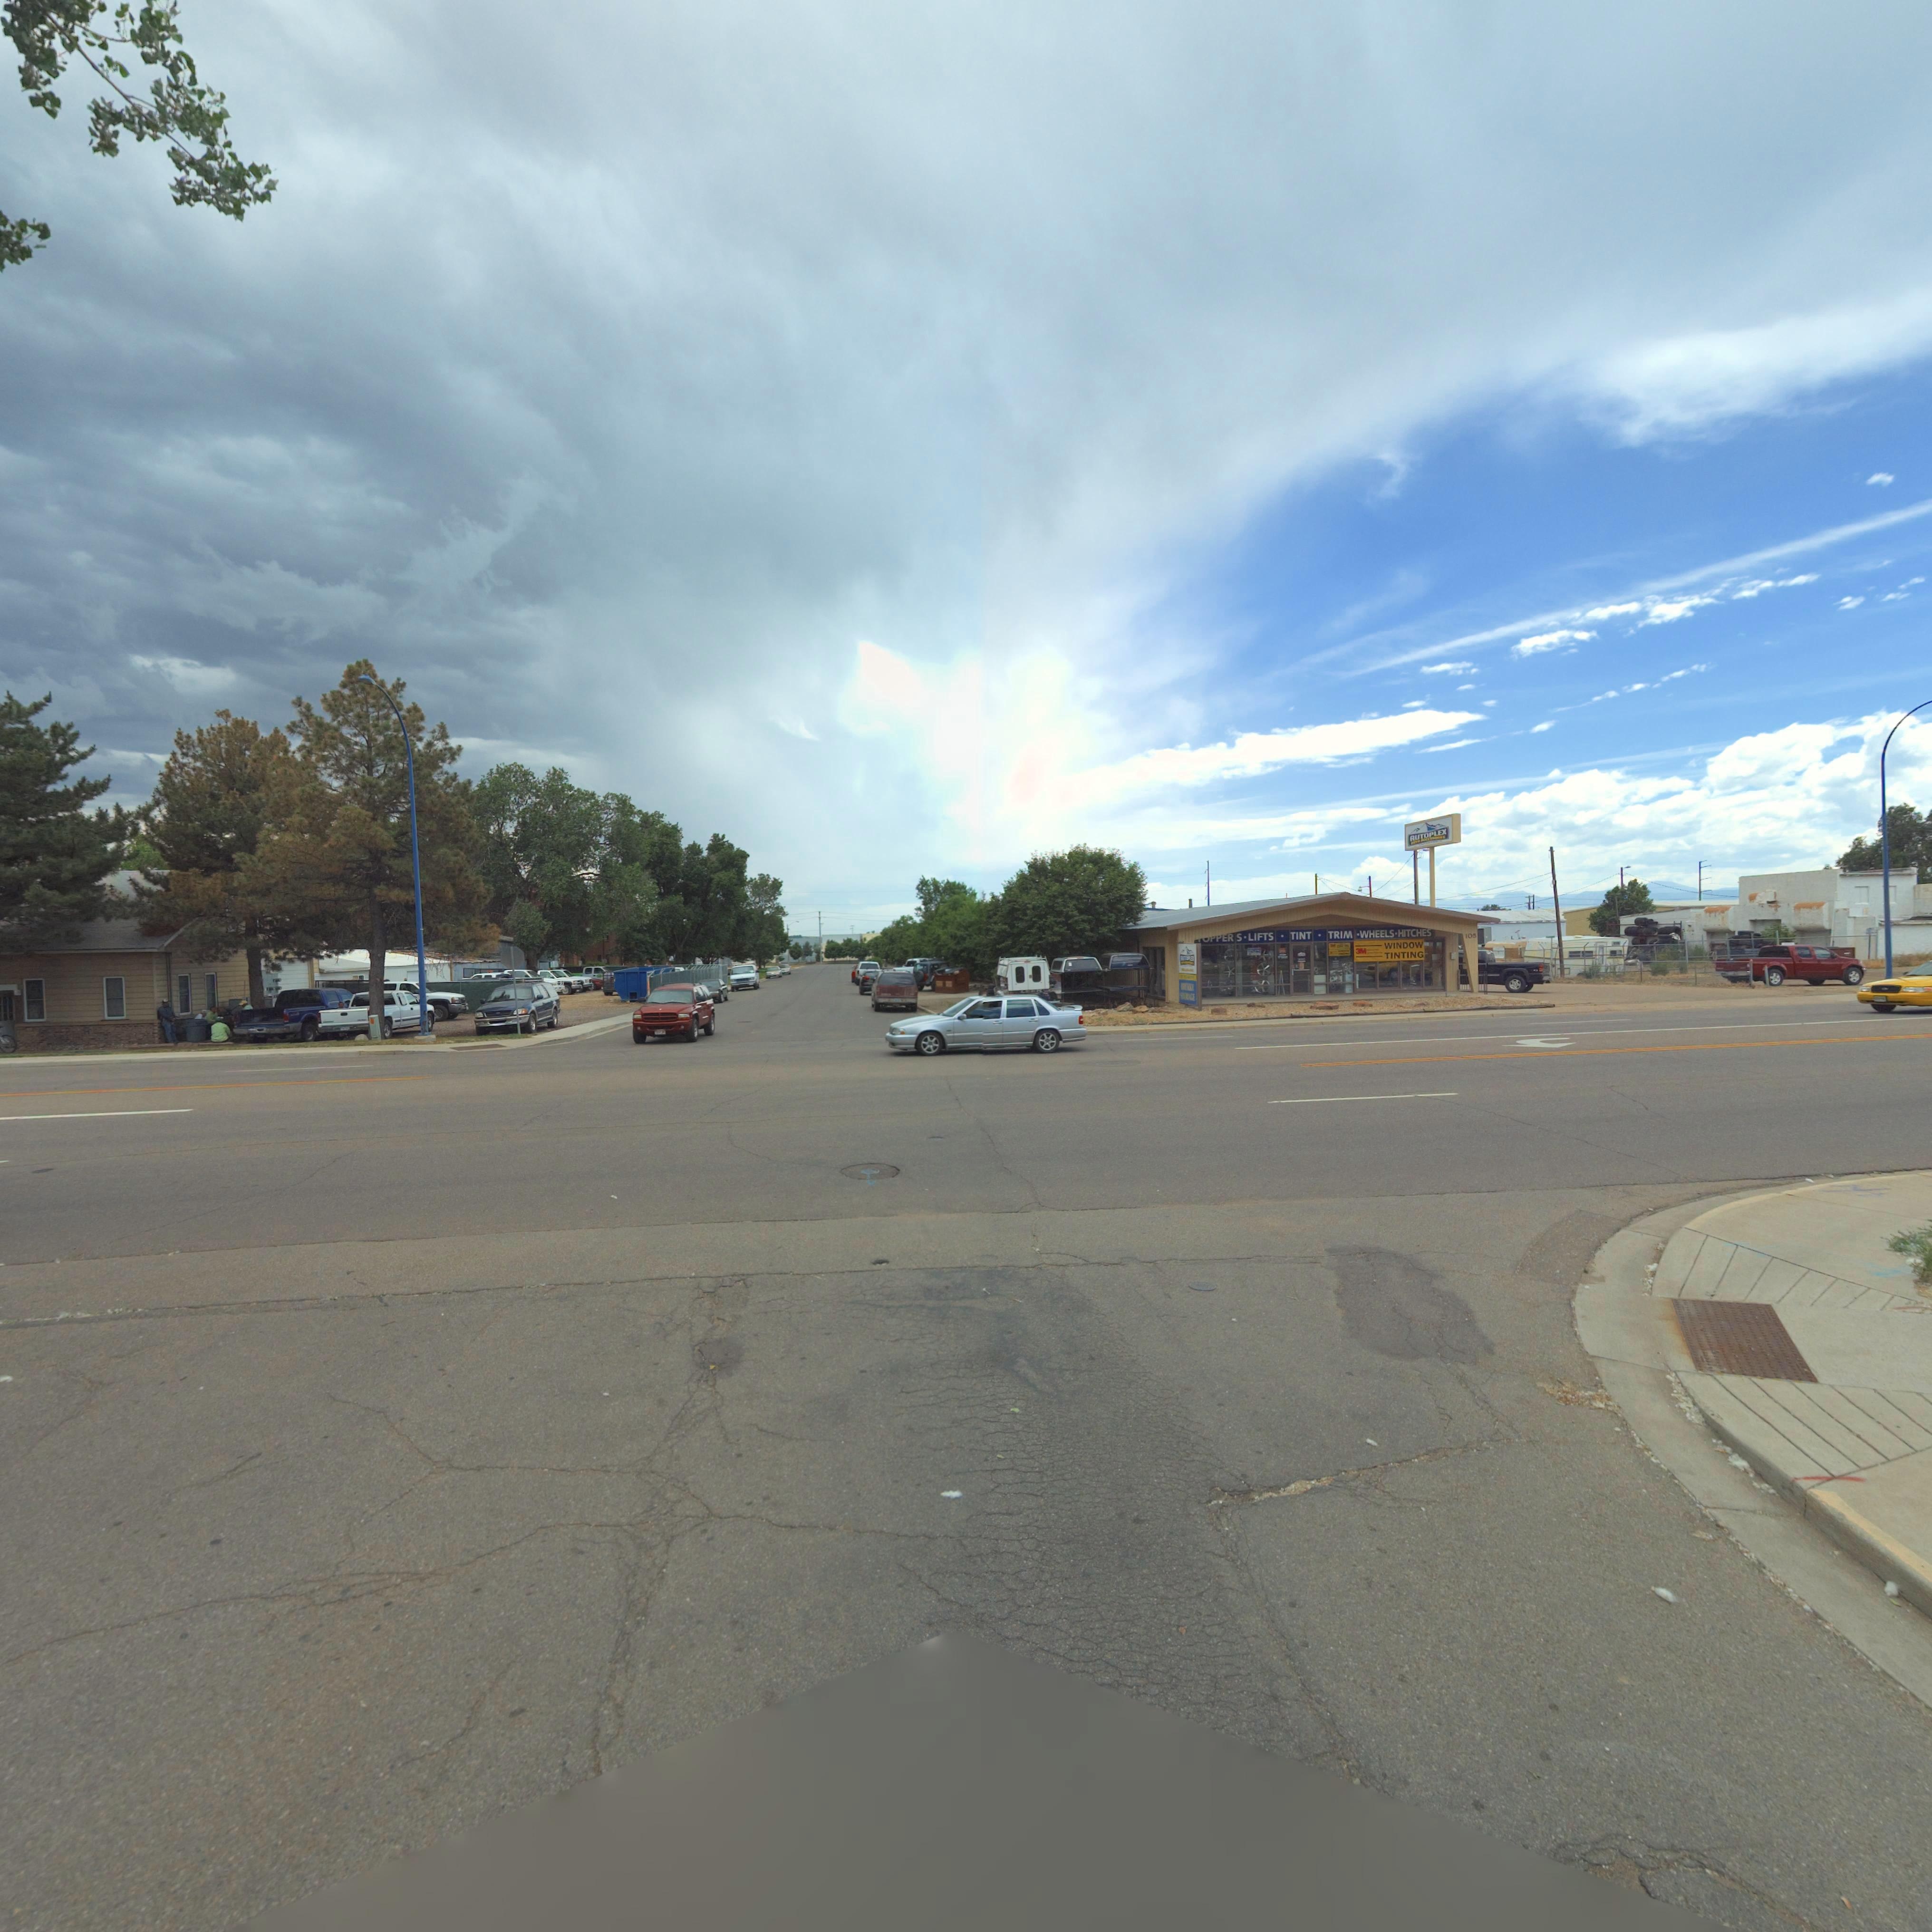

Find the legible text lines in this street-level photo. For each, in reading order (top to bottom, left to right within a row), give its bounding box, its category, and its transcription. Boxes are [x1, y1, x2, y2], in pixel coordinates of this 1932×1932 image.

[1410, 828, 1447, 841] BusinessName: AUTOPLEX
[1465, 933, 1476, 938] StreetNumber: 105
[1180, 955, 1194, 961] BusinessName: AUTOPLEX